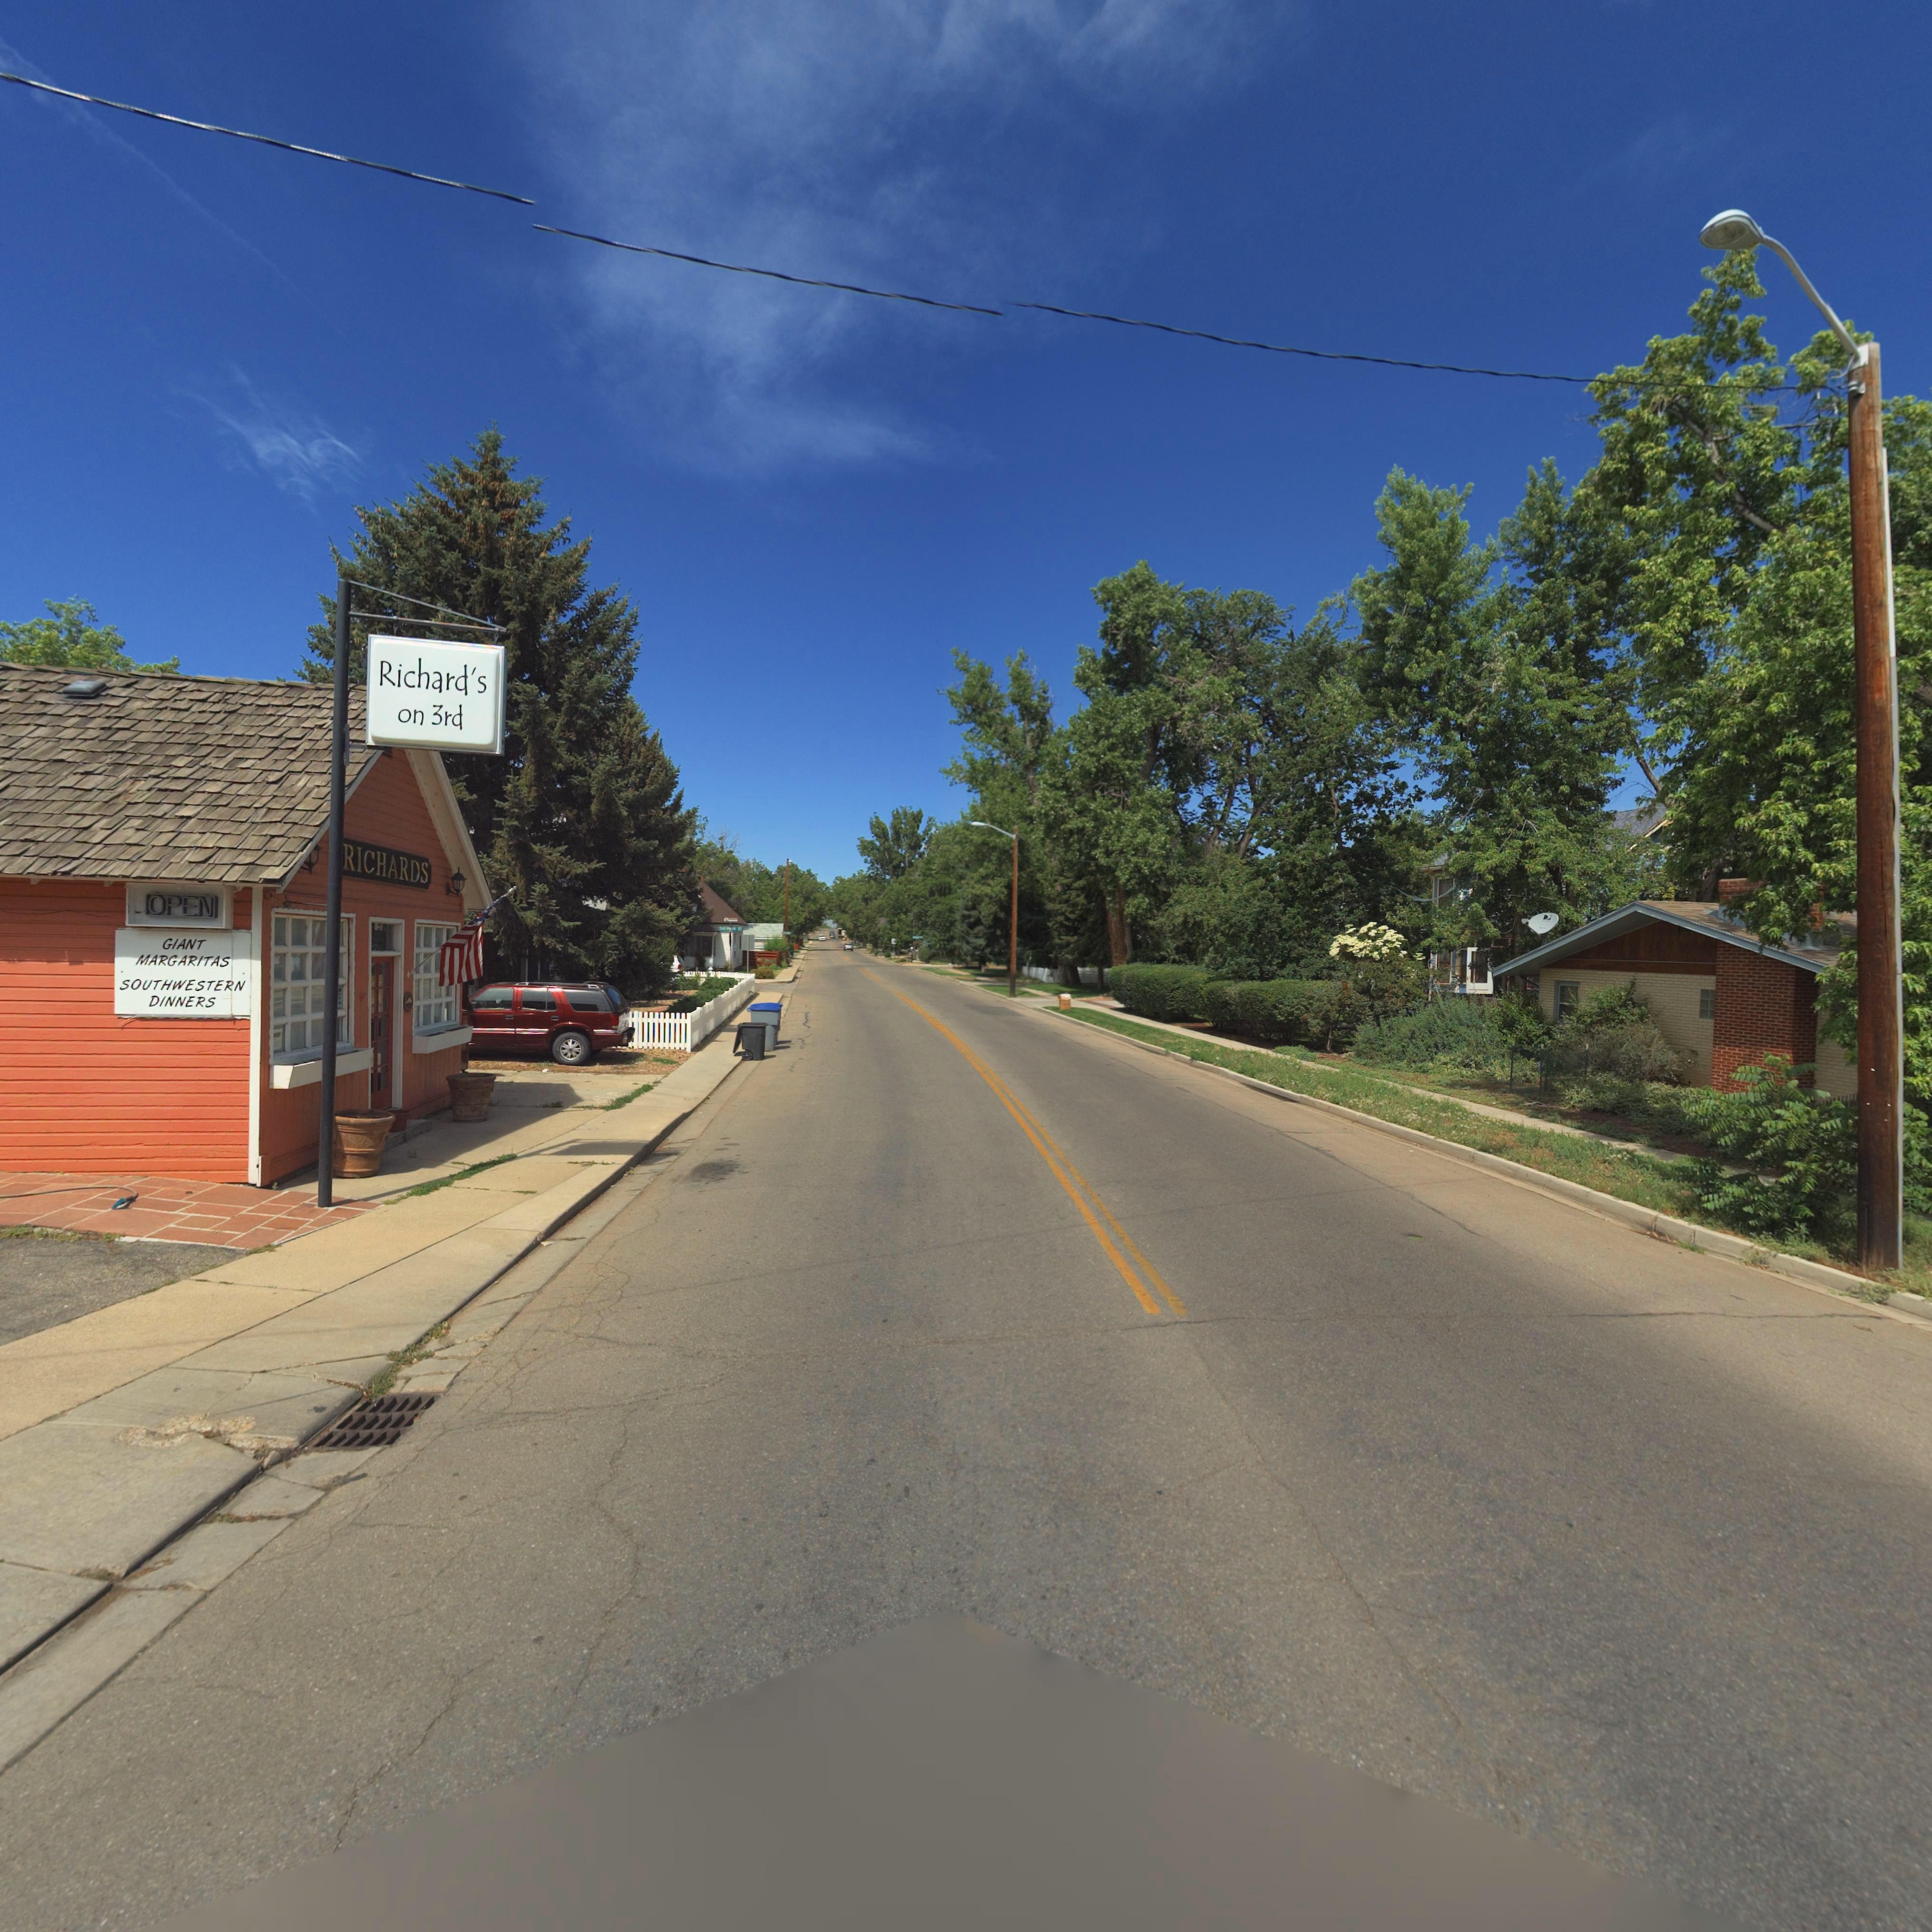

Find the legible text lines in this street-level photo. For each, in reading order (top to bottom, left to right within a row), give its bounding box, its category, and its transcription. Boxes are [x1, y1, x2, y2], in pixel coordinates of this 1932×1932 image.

[379, 657, 487, 697] BusinessName: Richard's
[342, 842, 429, 884] BusinessName: RICHARDS
[375, 923, 382, 930] StreetNumber: 18**